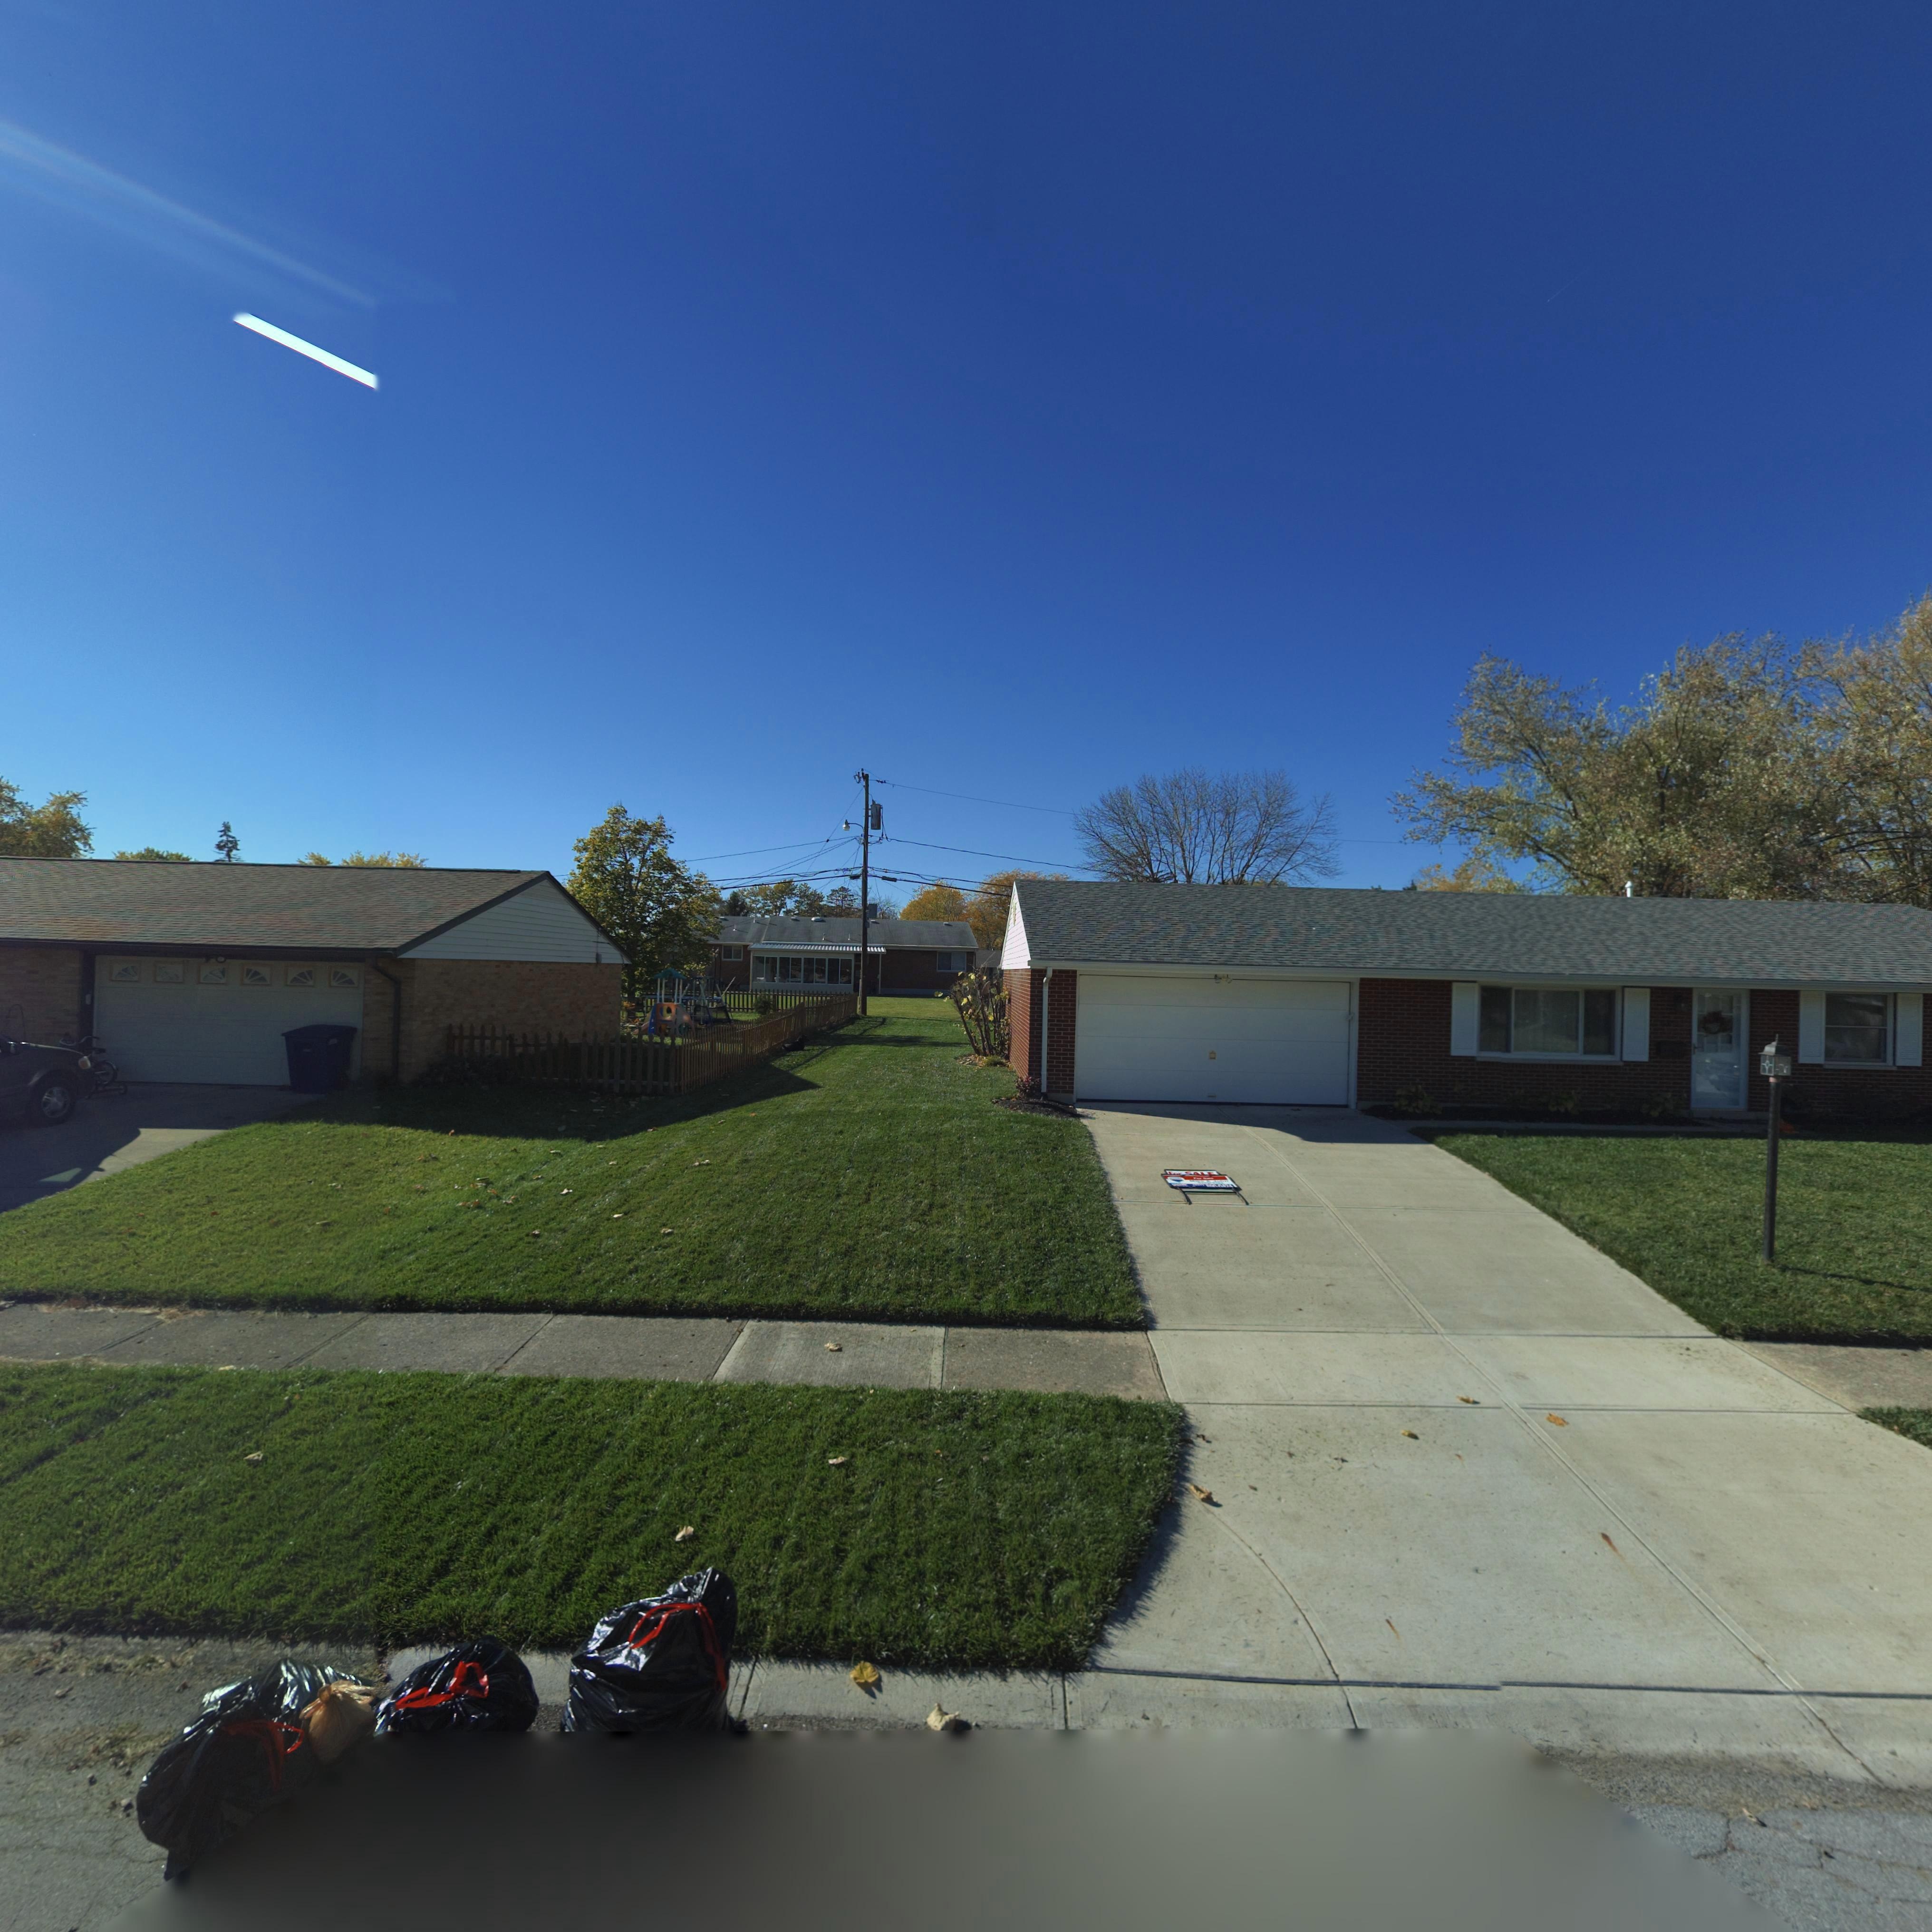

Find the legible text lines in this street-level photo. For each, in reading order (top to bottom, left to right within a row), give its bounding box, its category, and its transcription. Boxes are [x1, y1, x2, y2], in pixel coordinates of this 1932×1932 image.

[1214, 974, 1229, 979] StreetNumber: 6**1